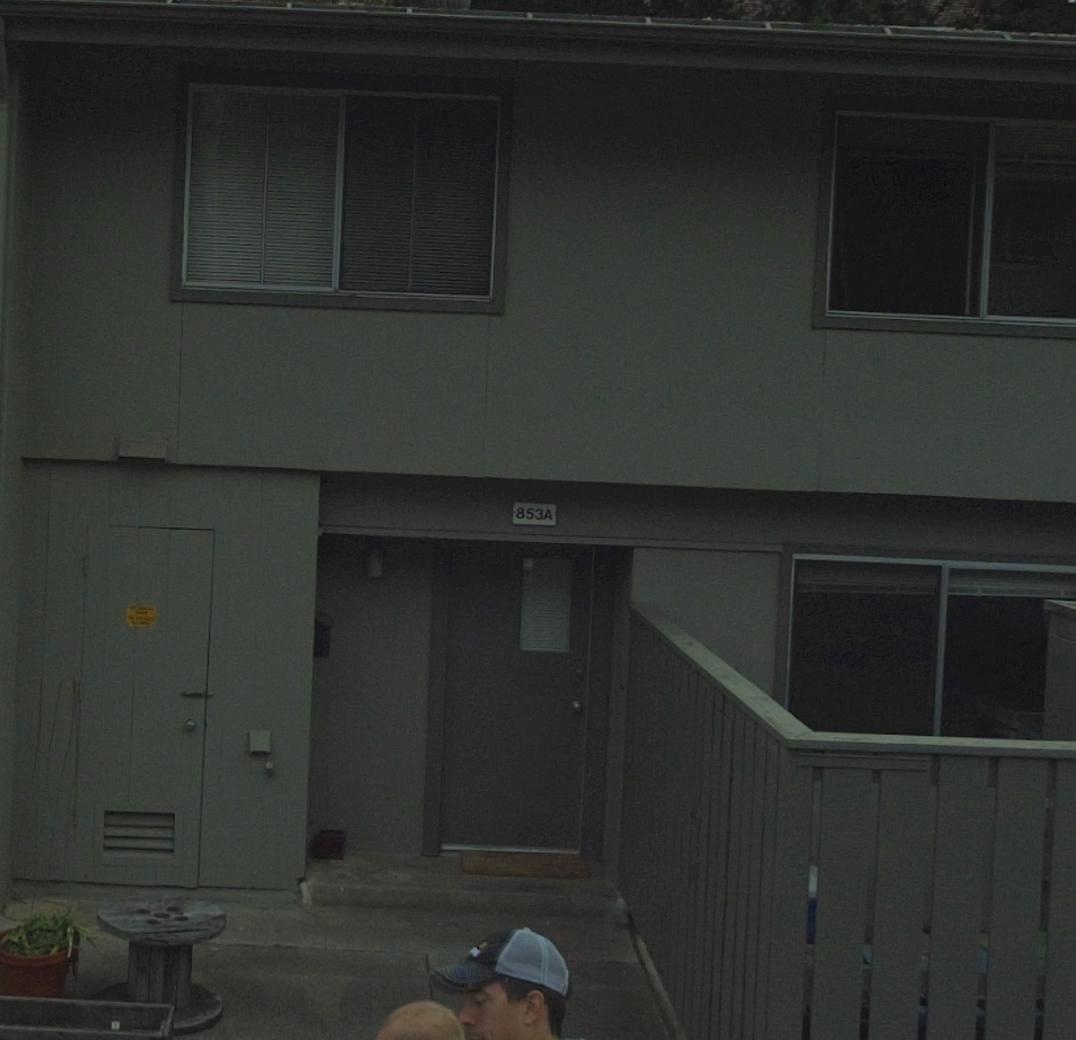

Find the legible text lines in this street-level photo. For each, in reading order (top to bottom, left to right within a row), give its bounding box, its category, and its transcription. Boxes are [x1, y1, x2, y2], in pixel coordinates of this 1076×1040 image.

[515, 507, 554, 522] StreetNumber: 853A